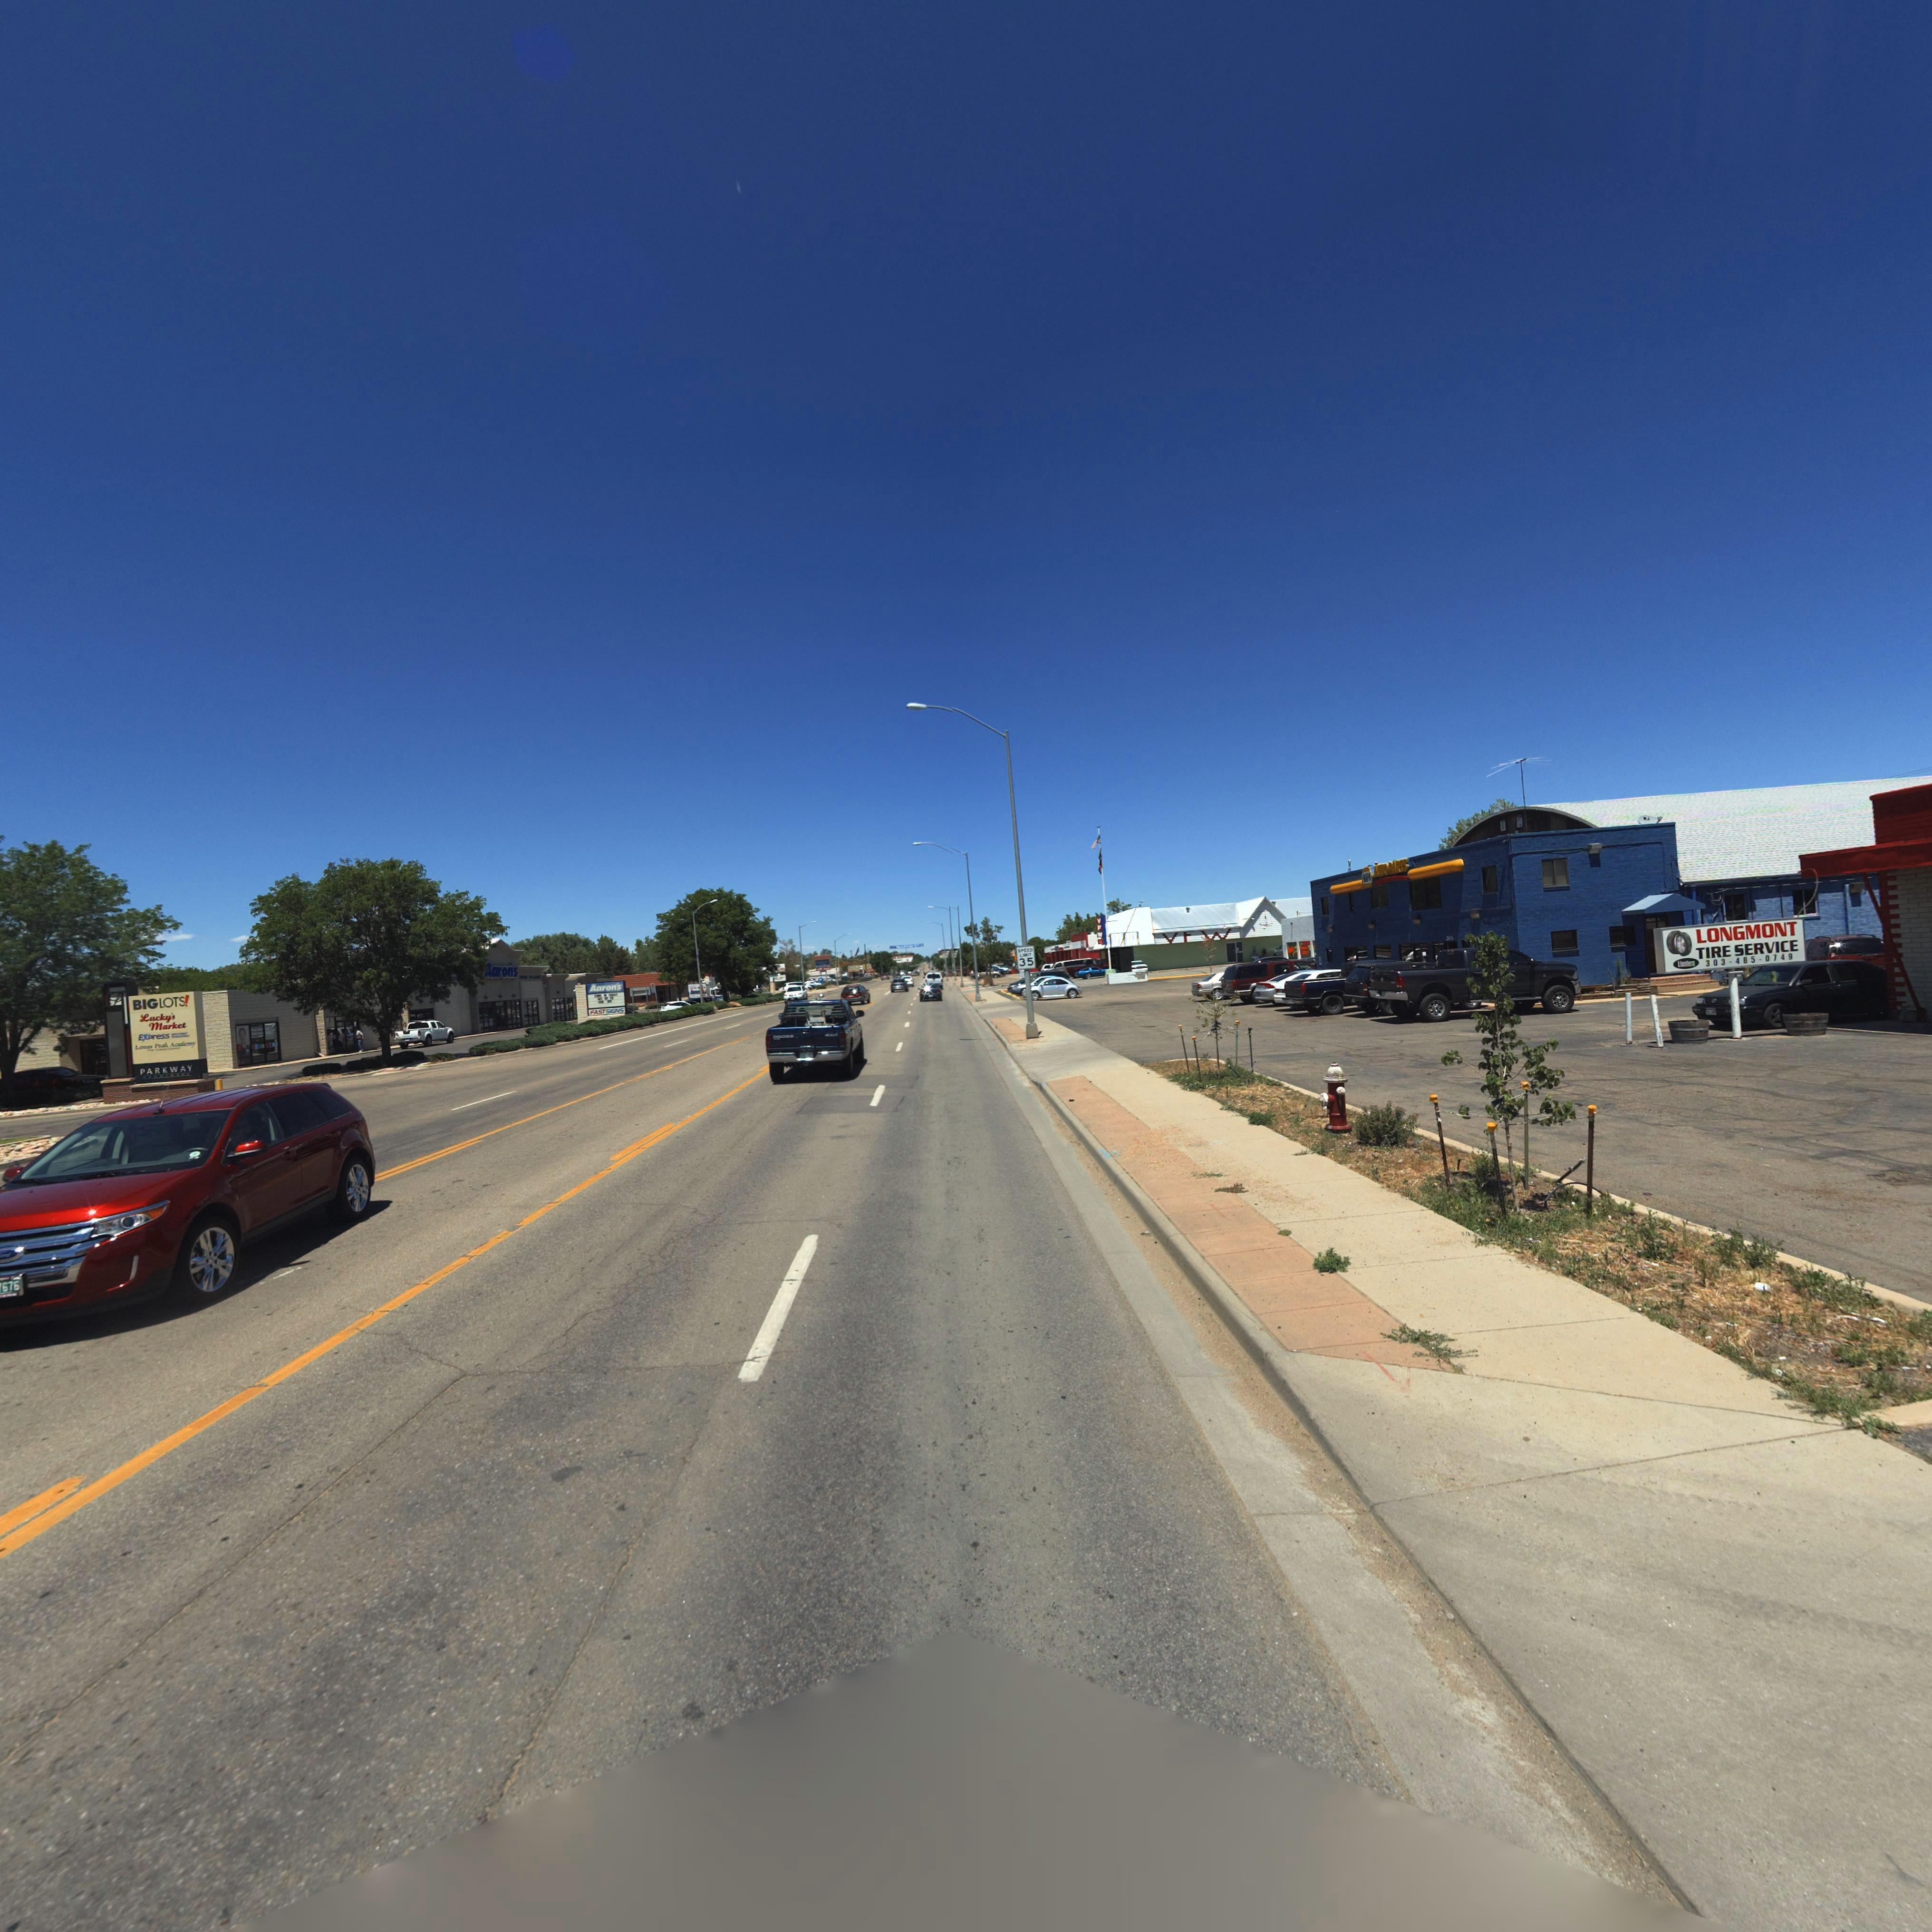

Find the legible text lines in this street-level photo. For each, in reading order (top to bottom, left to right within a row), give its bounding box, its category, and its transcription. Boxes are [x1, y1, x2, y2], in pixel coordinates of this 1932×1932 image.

[1373, 857, 1410, 877] BusinessName: **TO PARTS
[1362, 871, 1371, 882] BusinessName: NAPA
[1096, 918, 1102, 937] BusinessName: VFW
[1160, 928, 1233, 944] BusinessName: VFW
[1446, 935, 1454, 941] StreetNumber: 240
[1695, 920, 1797, 944] BusinessName: LONGMONT
[1695, 939, 1799, 959] BusinessName: TIRE SERVICE
[483, 962, 518, 979] BusinessName: *aron's
[589, 982, 622, 992] BusinessName: Aaron's
[132, 994, 189, 1010] BusinessName: BIGLOTS*
[589, 1007, 624, 1014] BusinessName: FAST SIGNS
[139, 1012, 175, 1023] BusinessName: Lucky's
[149, 1021, 187, 1031] BusinessName: Market
[138, 1033, 170, 1041] BusinessName: Express
[135, 1040, 195, 1050] BusinessName: Lo*g* P**k Ac****y